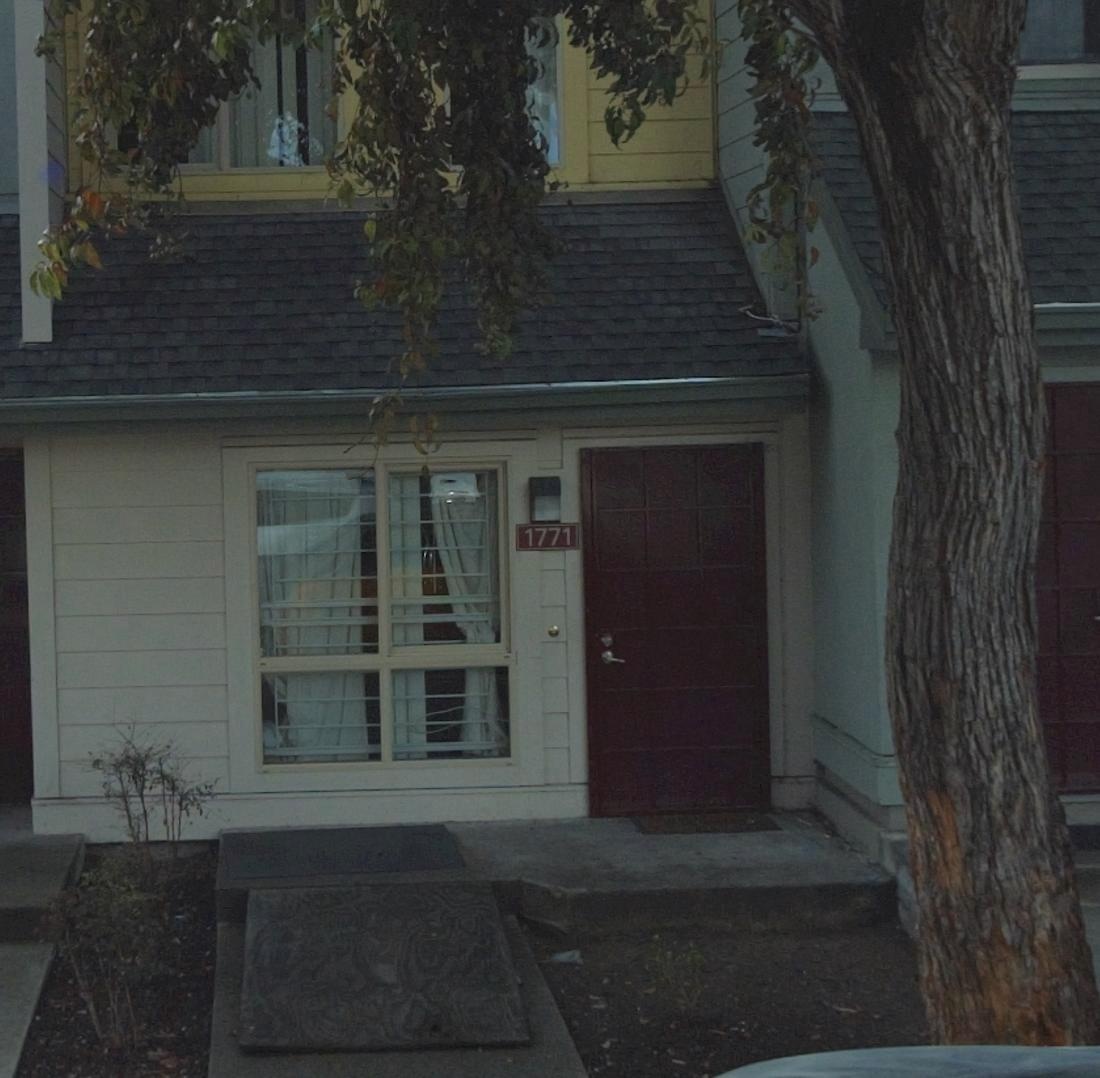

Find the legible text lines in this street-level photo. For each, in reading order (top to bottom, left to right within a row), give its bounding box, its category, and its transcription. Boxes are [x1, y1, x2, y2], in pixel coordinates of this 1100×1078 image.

[521, 525, 572, 549] StreetNumber: 1771